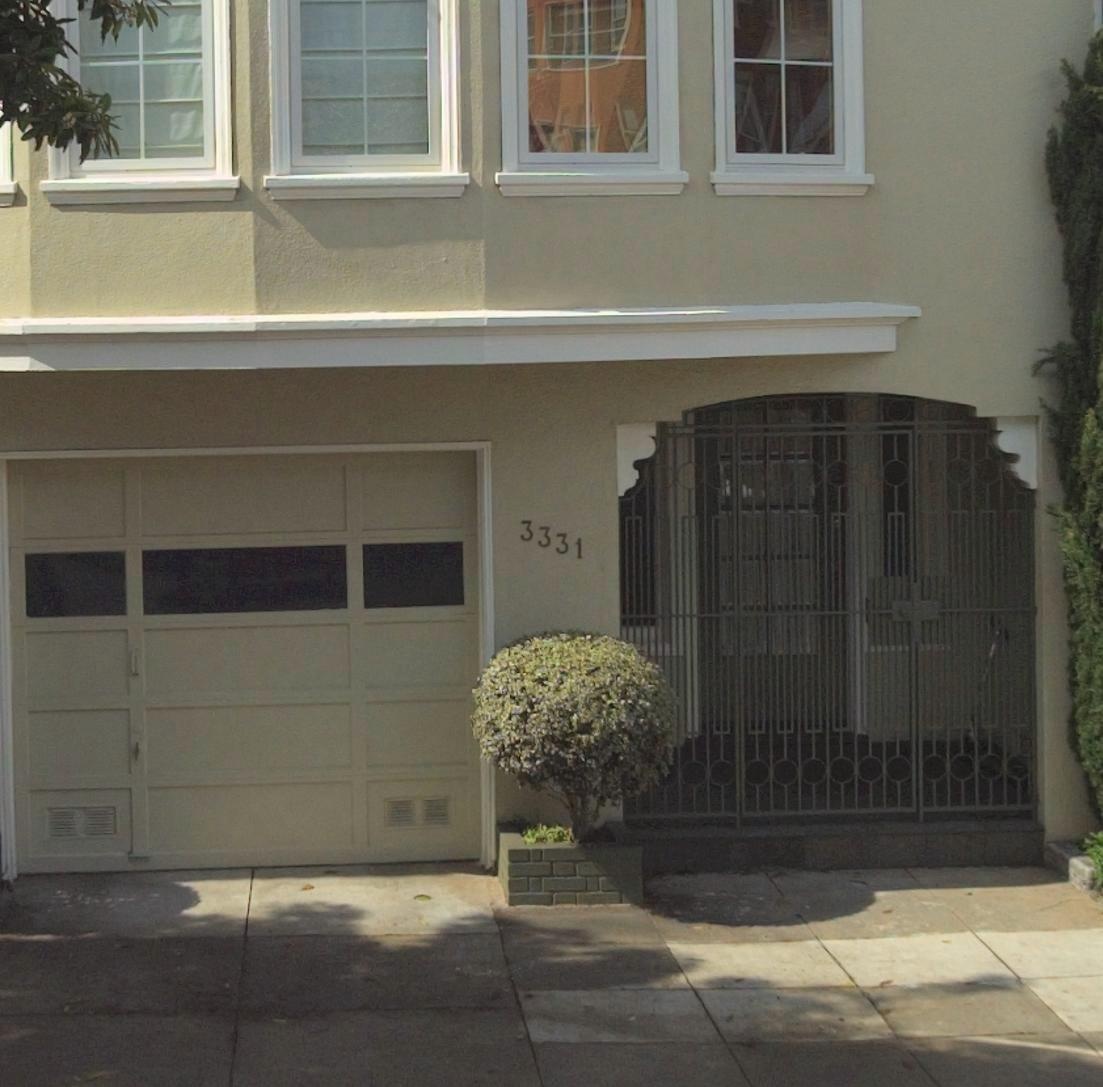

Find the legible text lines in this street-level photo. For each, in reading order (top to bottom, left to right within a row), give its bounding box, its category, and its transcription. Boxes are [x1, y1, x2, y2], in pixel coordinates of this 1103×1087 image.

[517, 517, 585, 564] StreetNumber: 3331